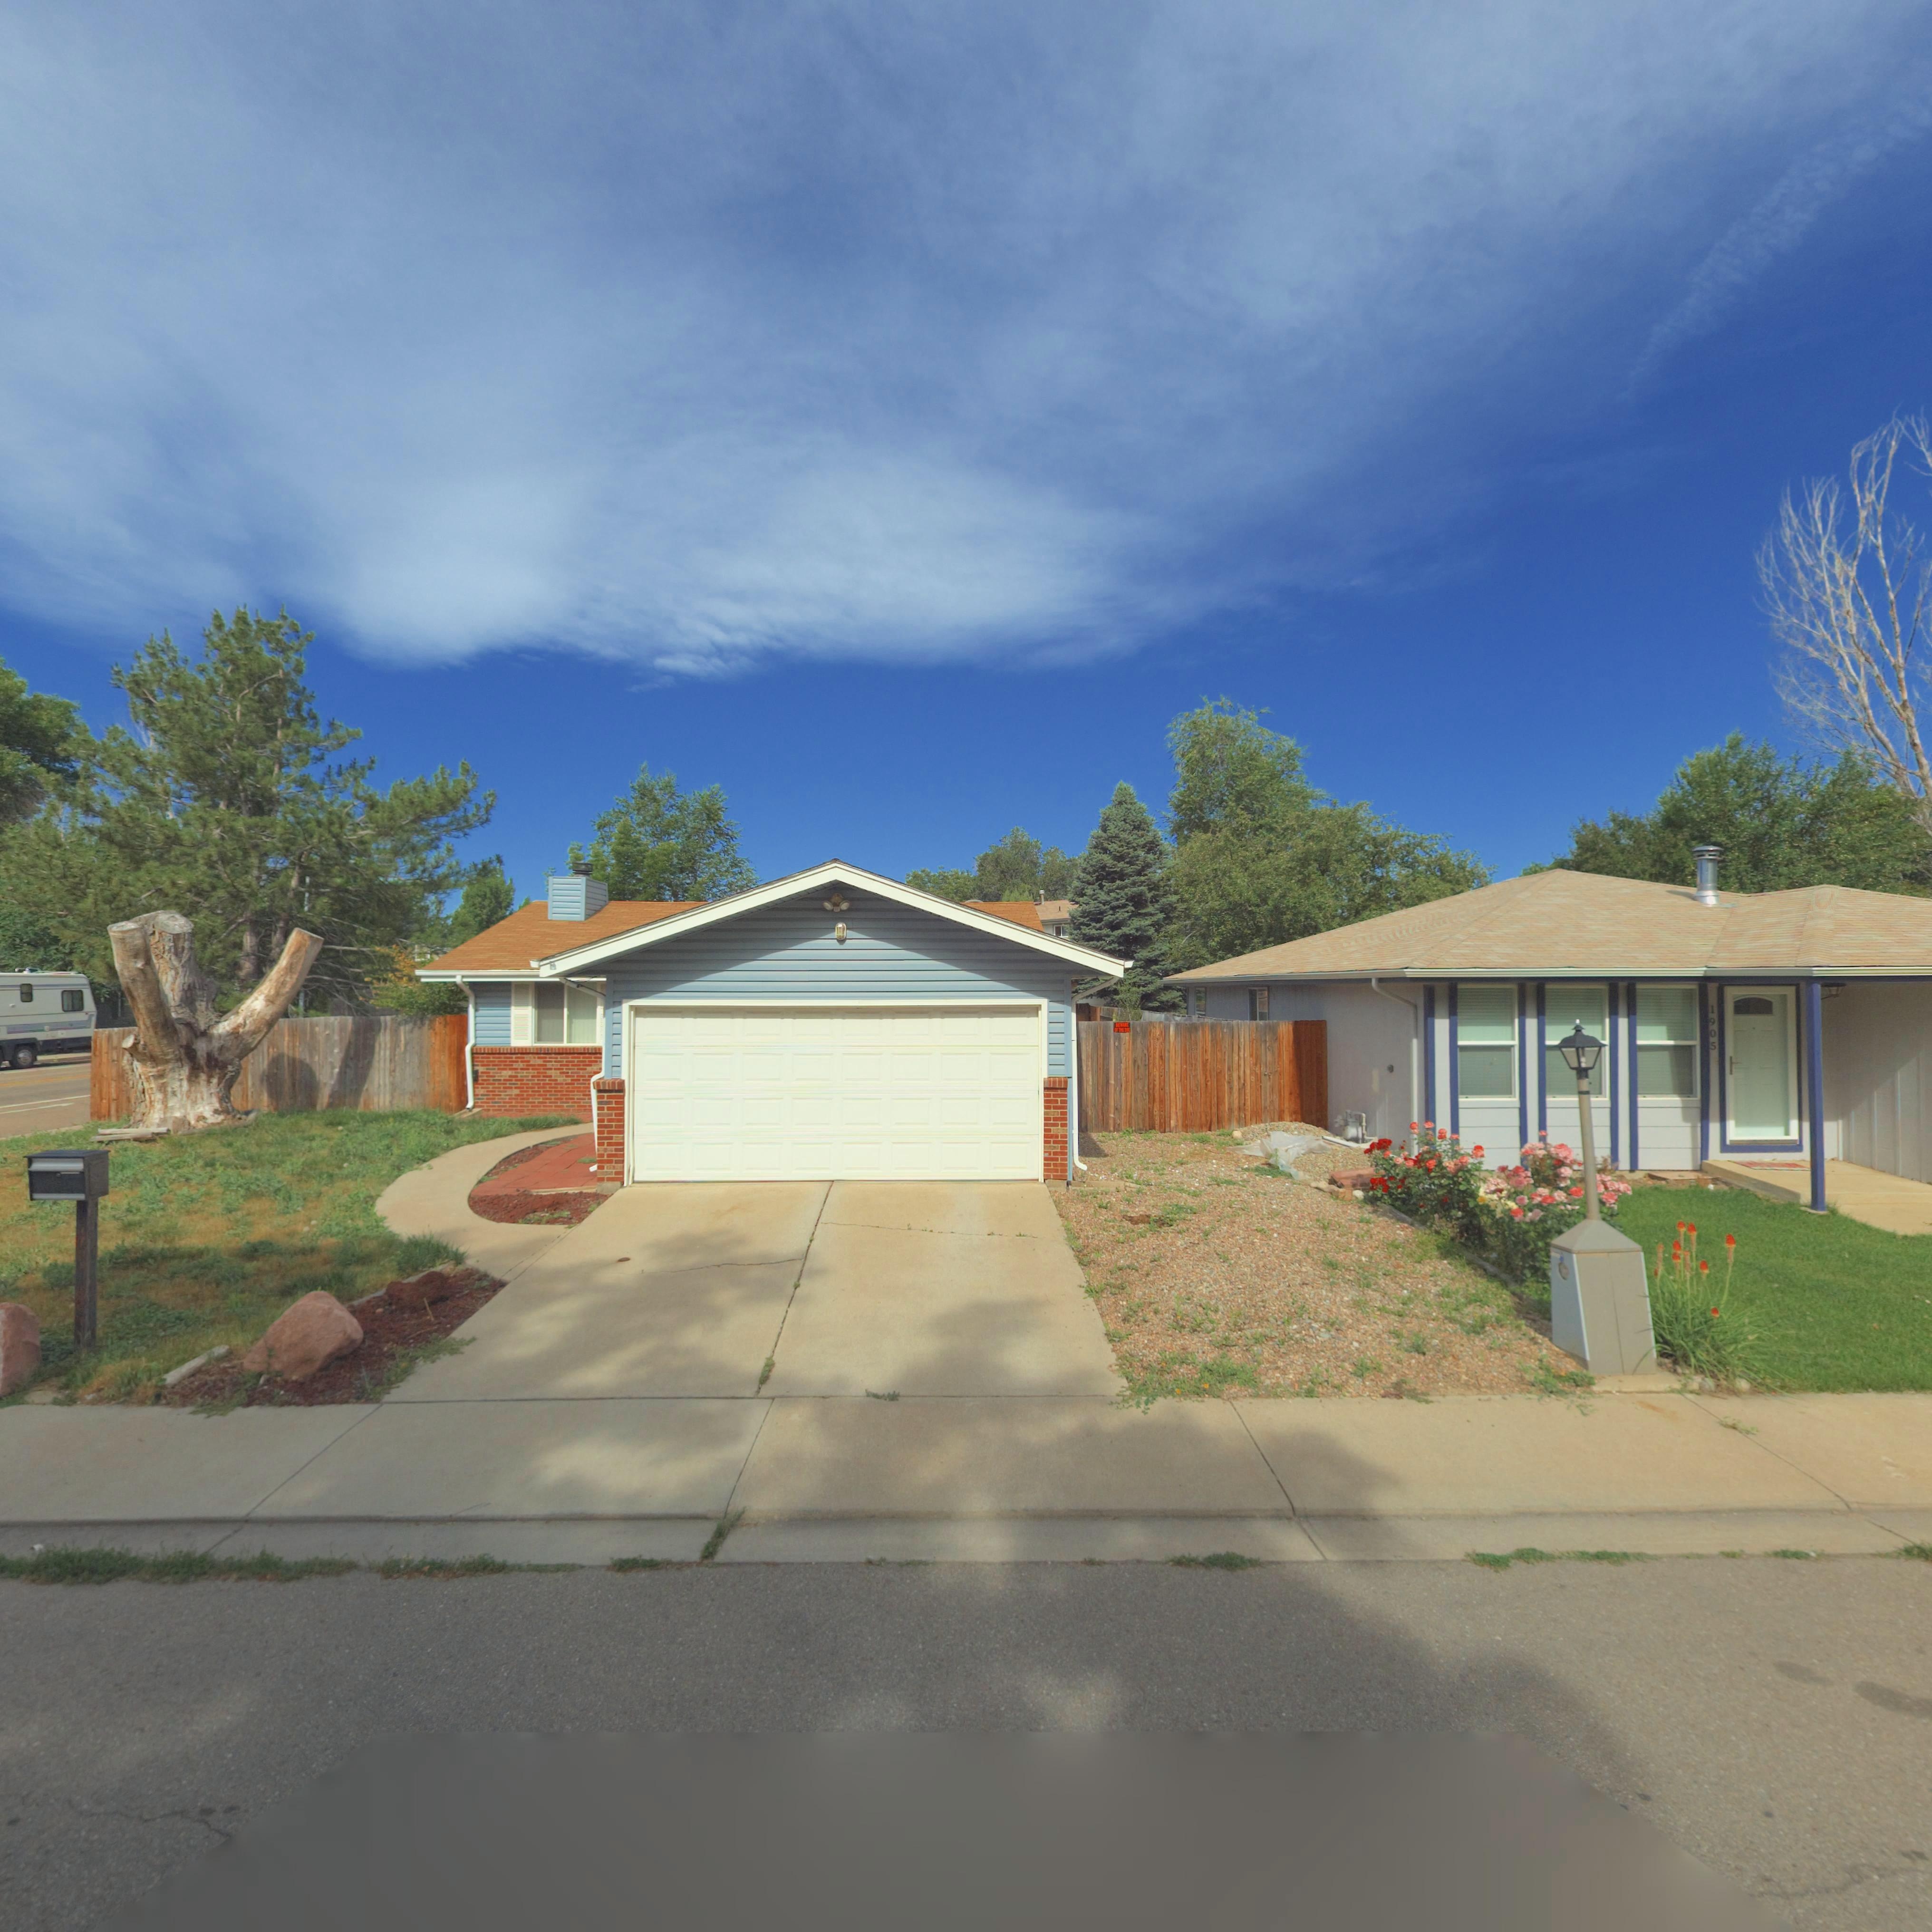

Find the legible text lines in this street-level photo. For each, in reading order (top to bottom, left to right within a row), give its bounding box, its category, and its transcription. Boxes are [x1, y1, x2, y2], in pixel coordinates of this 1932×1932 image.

[1709, 1004, 1717, 1051] StreetNumber: 1905